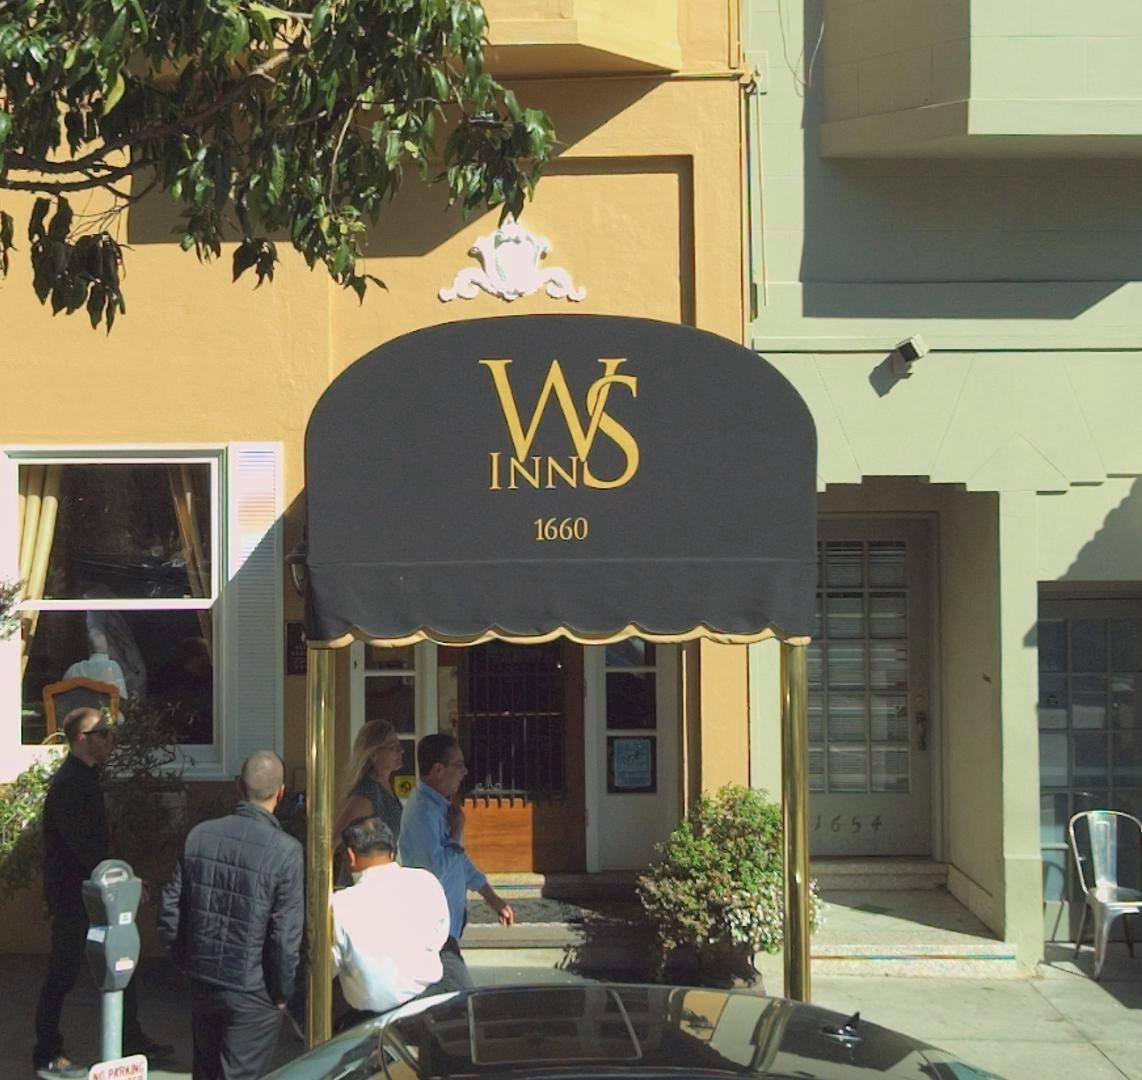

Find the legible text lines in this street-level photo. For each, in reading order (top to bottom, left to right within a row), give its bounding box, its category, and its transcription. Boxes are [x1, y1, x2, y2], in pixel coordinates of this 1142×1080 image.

[487, 450, 580, 491] None: INN
[532, 514, 590, 542] StreetNumber: 1660